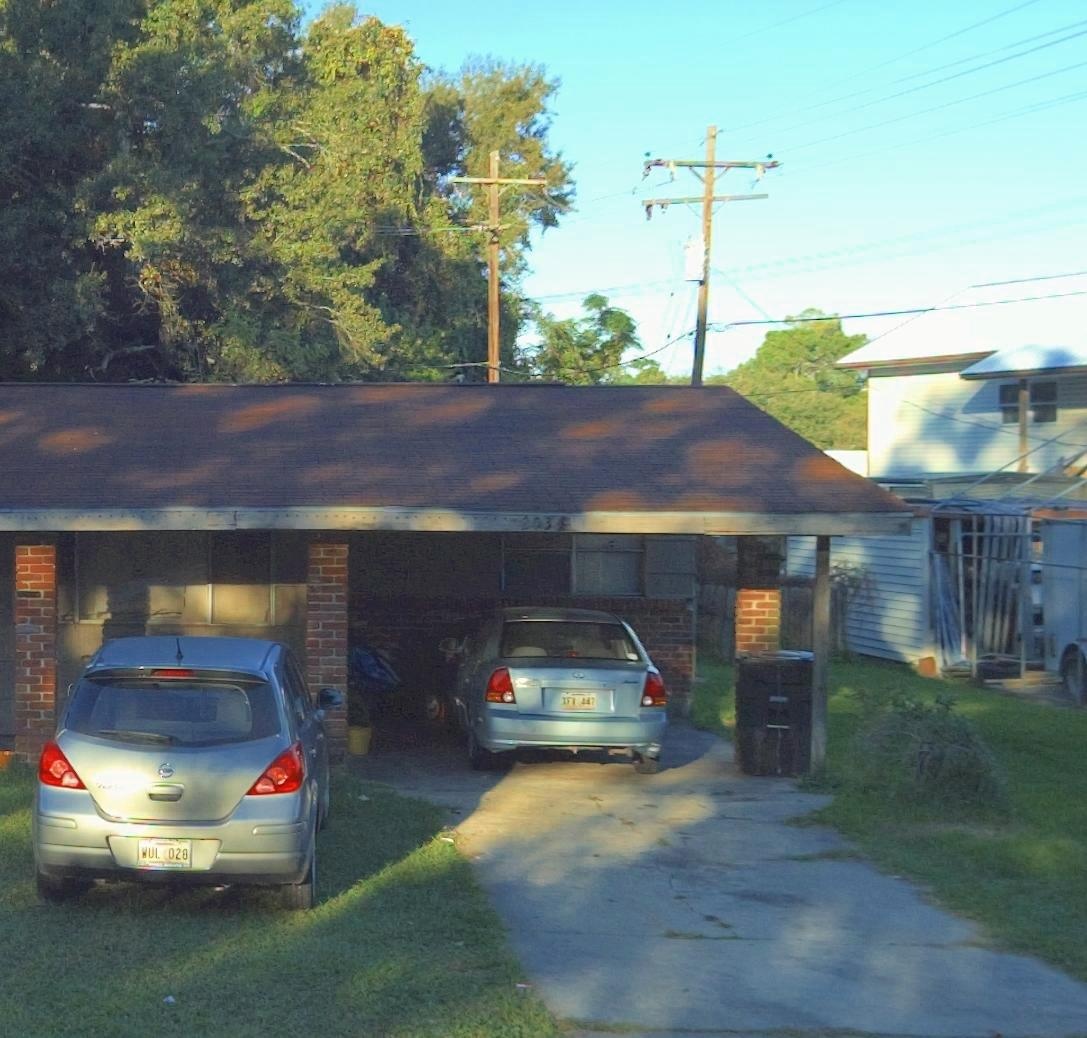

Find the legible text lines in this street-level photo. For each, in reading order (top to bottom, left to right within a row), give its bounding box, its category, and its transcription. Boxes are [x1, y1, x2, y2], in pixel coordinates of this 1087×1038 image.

[519, 514, 568, 533] StreetNumber: 2034
[579, 696, 592, 707] None: 44
[140, 845, 190, 861] None: WUL 020